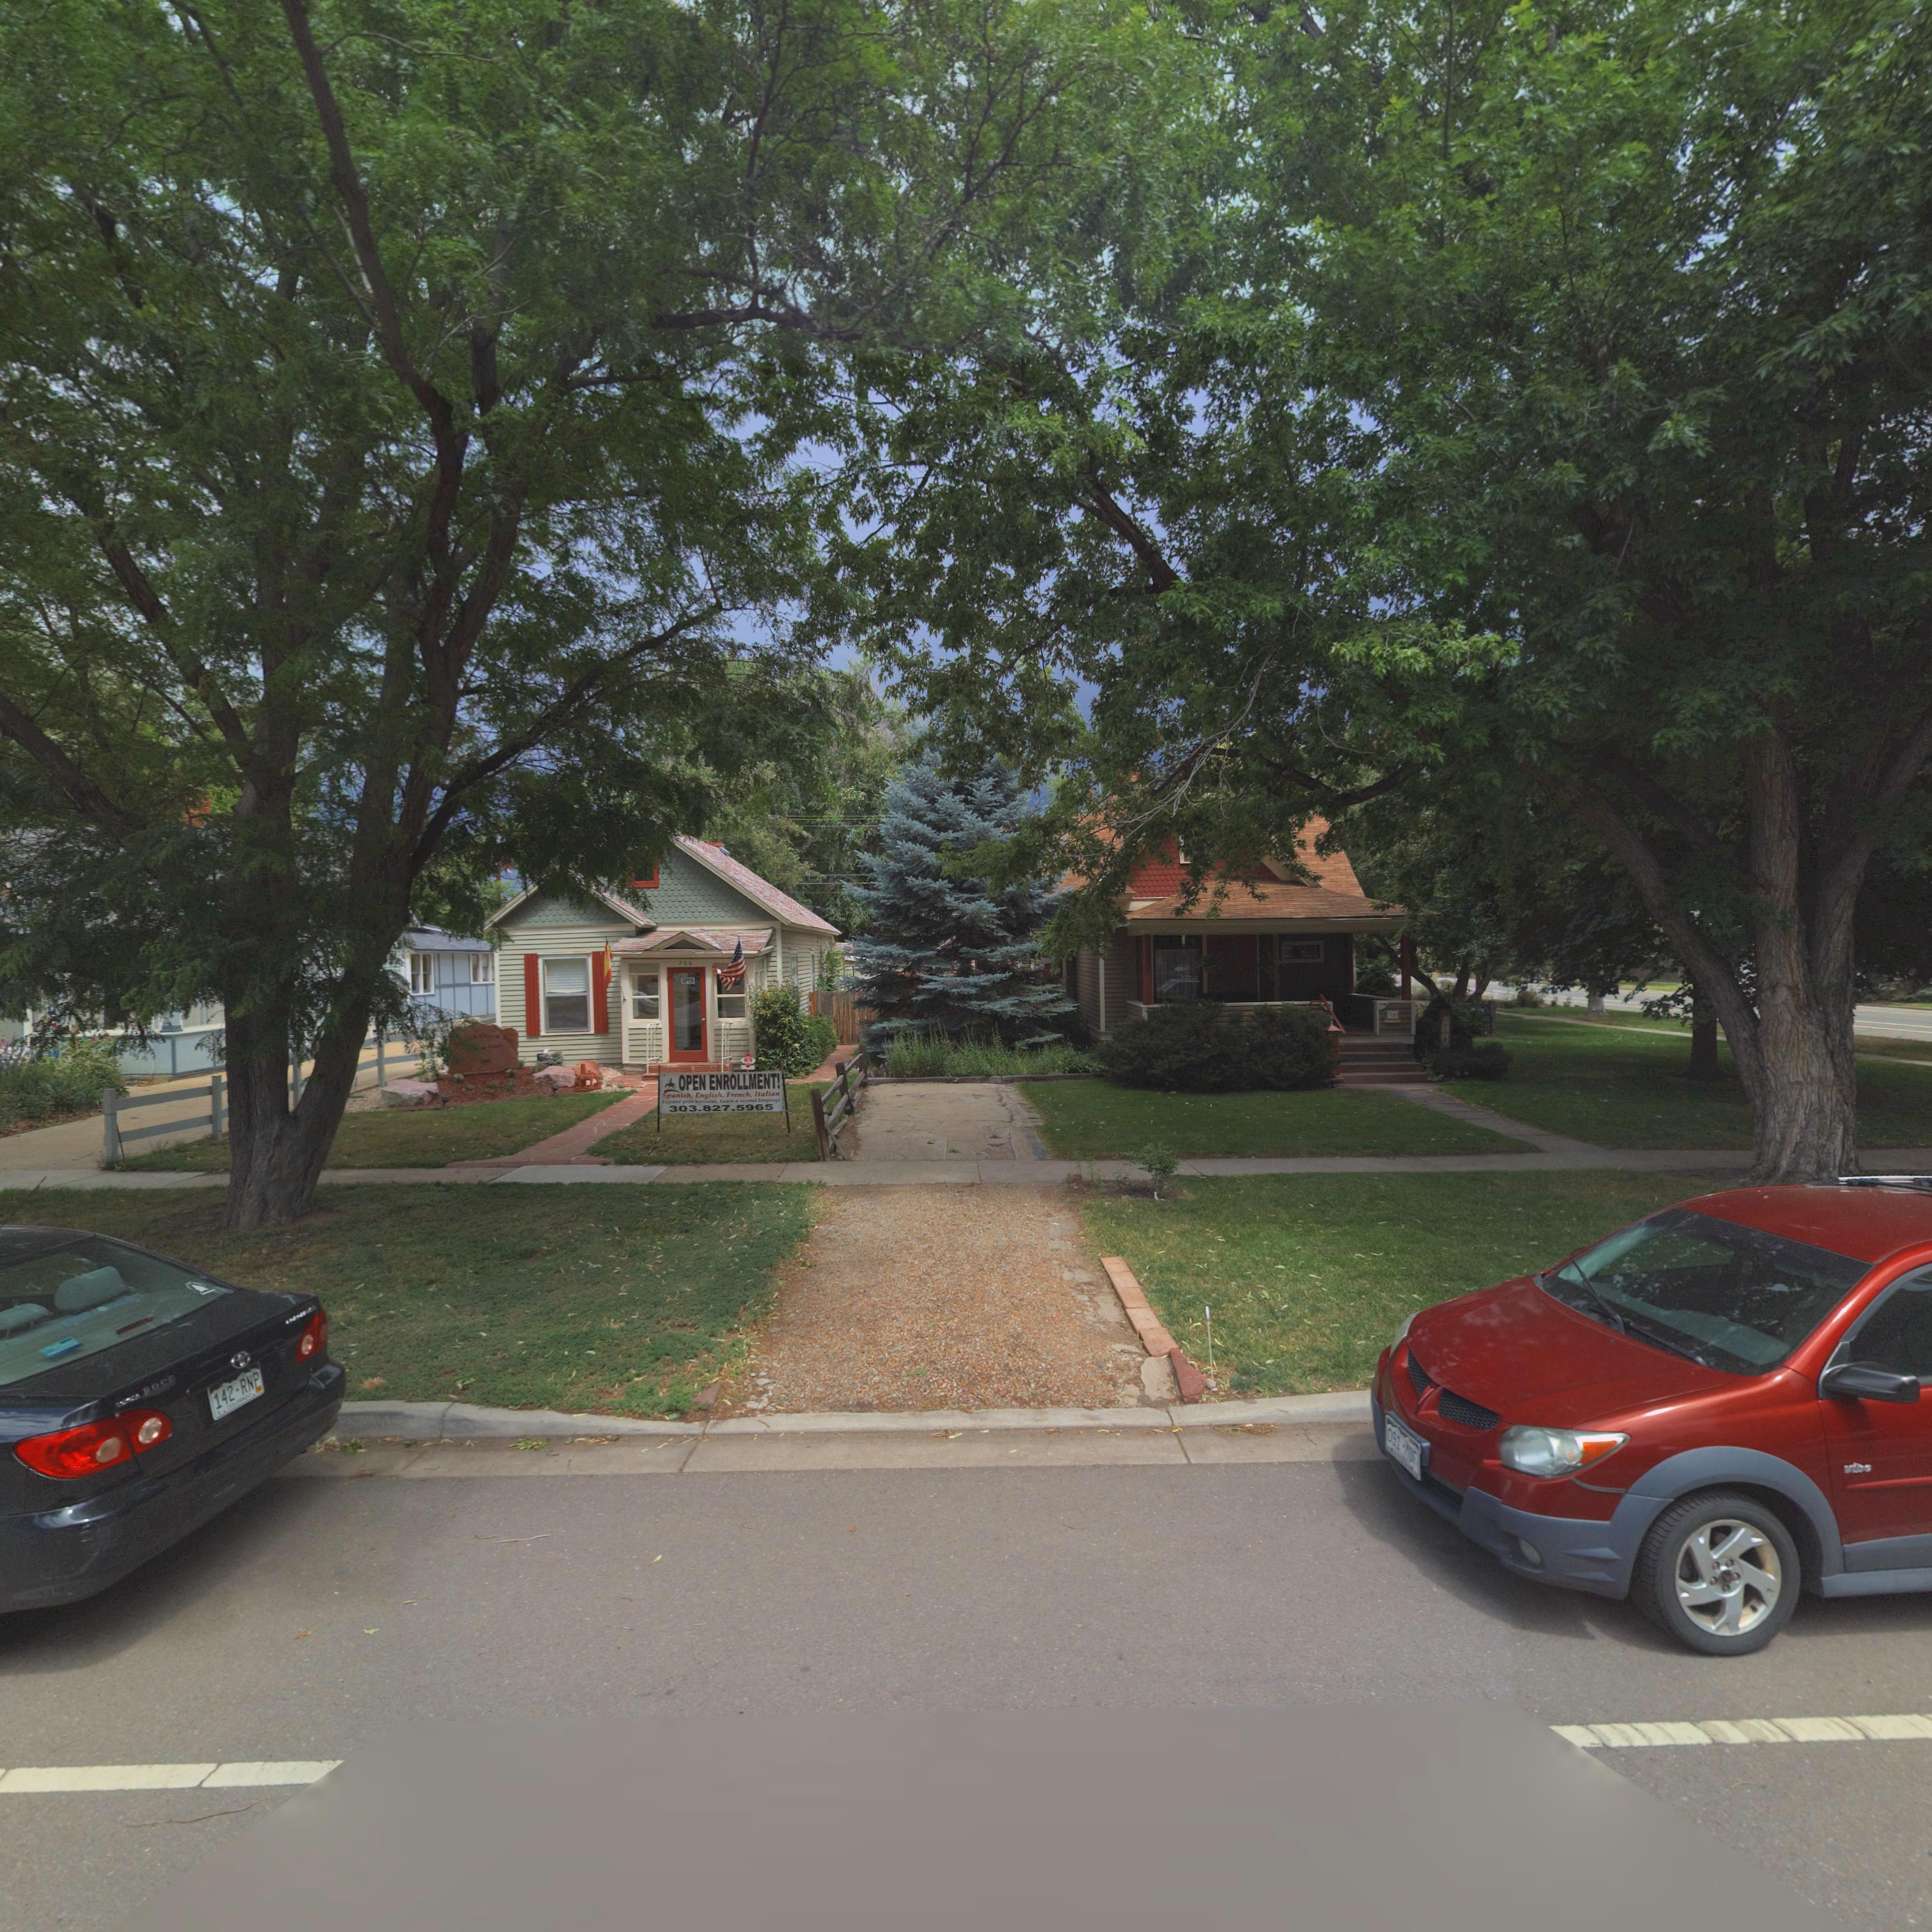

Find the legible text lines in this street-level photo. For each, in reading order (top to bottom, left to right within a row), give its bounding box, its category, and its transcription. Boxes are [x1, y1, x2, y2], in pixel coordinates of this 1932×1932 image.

[678, 960, 692, 966] StreetNumber: 706
[1387, 1012, 1398, 1018] StreetNumber: 700
[454, 1030, 513, 1048] BusinessName: ****** E*** 
[469, 1043, 503, 1052] BusinessName: ******** Sch**l
[479, 1058, 491, 1064] StreetNumber: 706